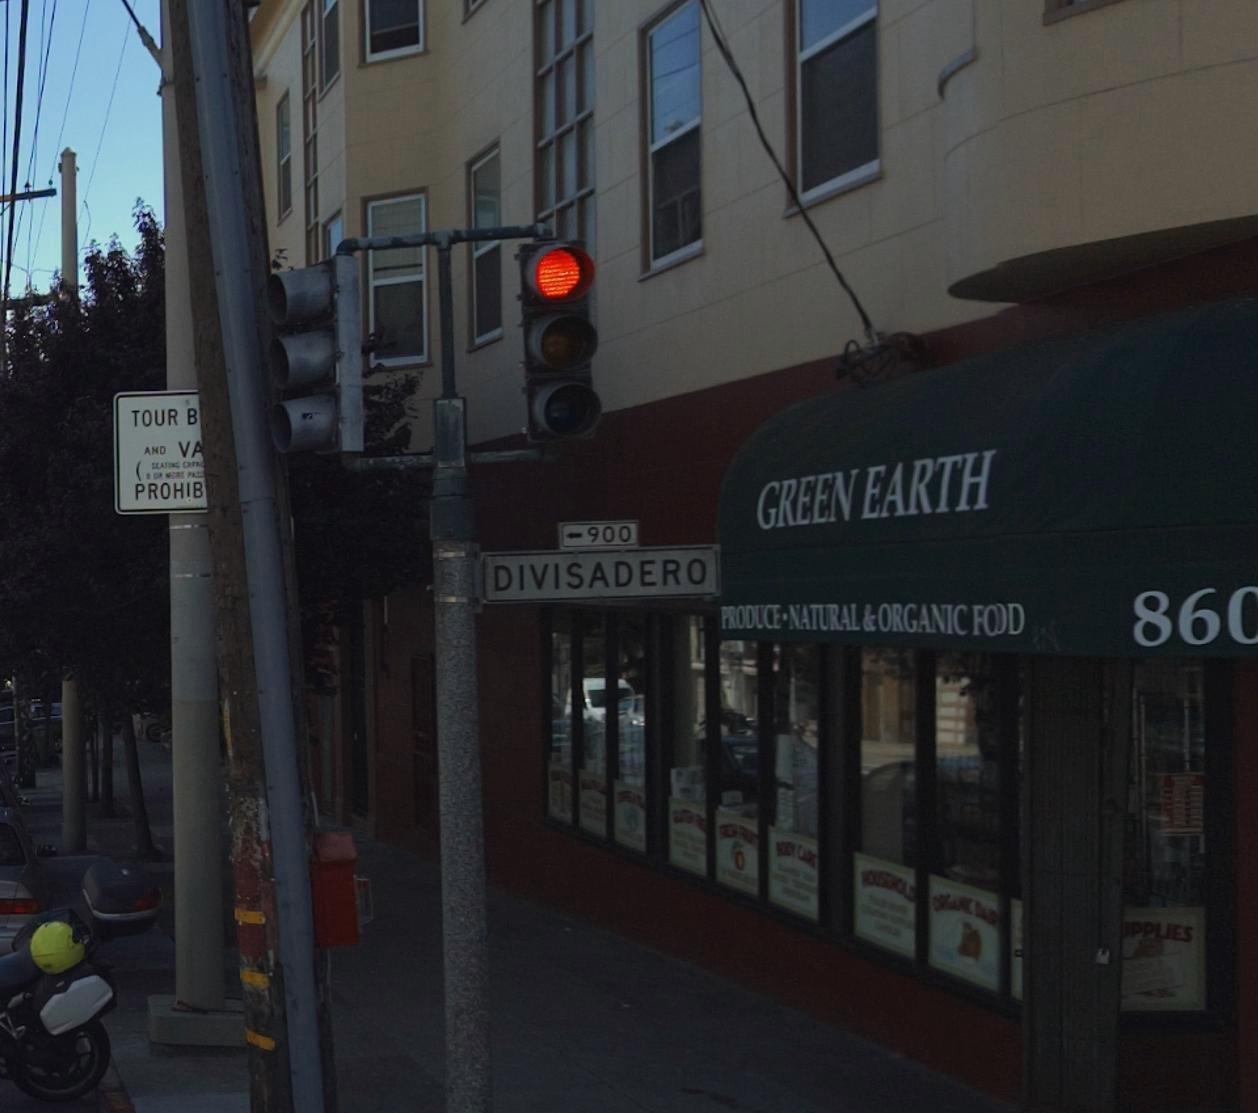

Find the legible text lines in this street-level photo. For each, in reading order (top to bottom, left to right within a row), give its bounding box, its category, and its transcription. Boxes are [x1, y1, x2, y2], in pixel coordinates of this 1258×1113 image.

[127, 405, 200, 428] None: TOUR B
[142, 439, 204, 459] None: AND VA
[141, 470, 205, 481] None: * OR MORE PASS
[148, 460, 205, 470] None: SEATING CAPAC
[131, 481, 204, 501] None: PROHIB
[750, 443, 1005, 536] BusinessName: GREEN EARTH
[562, 521, 635, 548] StreetNumberRange: <-900
[488, 556, 713, 590] StreetName: DIVISADERO
[718, 596, 1029, 641] None: PRODUCE-NATURAL & ORGANIC FOOD
[1131, 582, 1258, 651] None: 86*
[858, 864, 918, 906] None: HOUSEHOLD
[1122, 919, 1196, 943] None: *UPPLIES